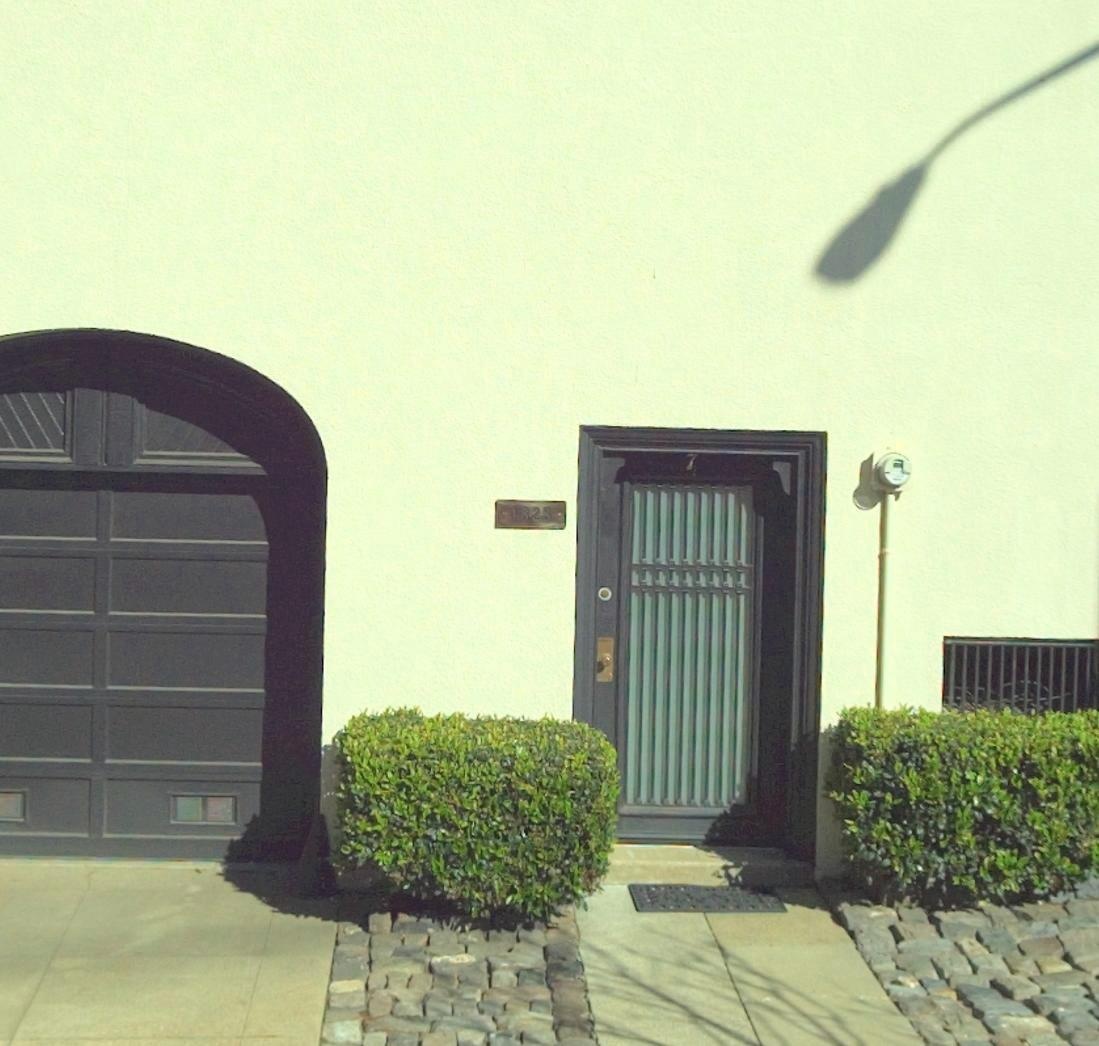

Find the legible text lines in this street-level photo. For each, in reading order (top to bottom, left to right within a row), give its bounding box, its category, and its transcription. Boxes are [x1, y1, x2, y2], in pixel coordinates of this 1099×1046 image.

[509, 504, 553, 522] StreetNumber: 1823